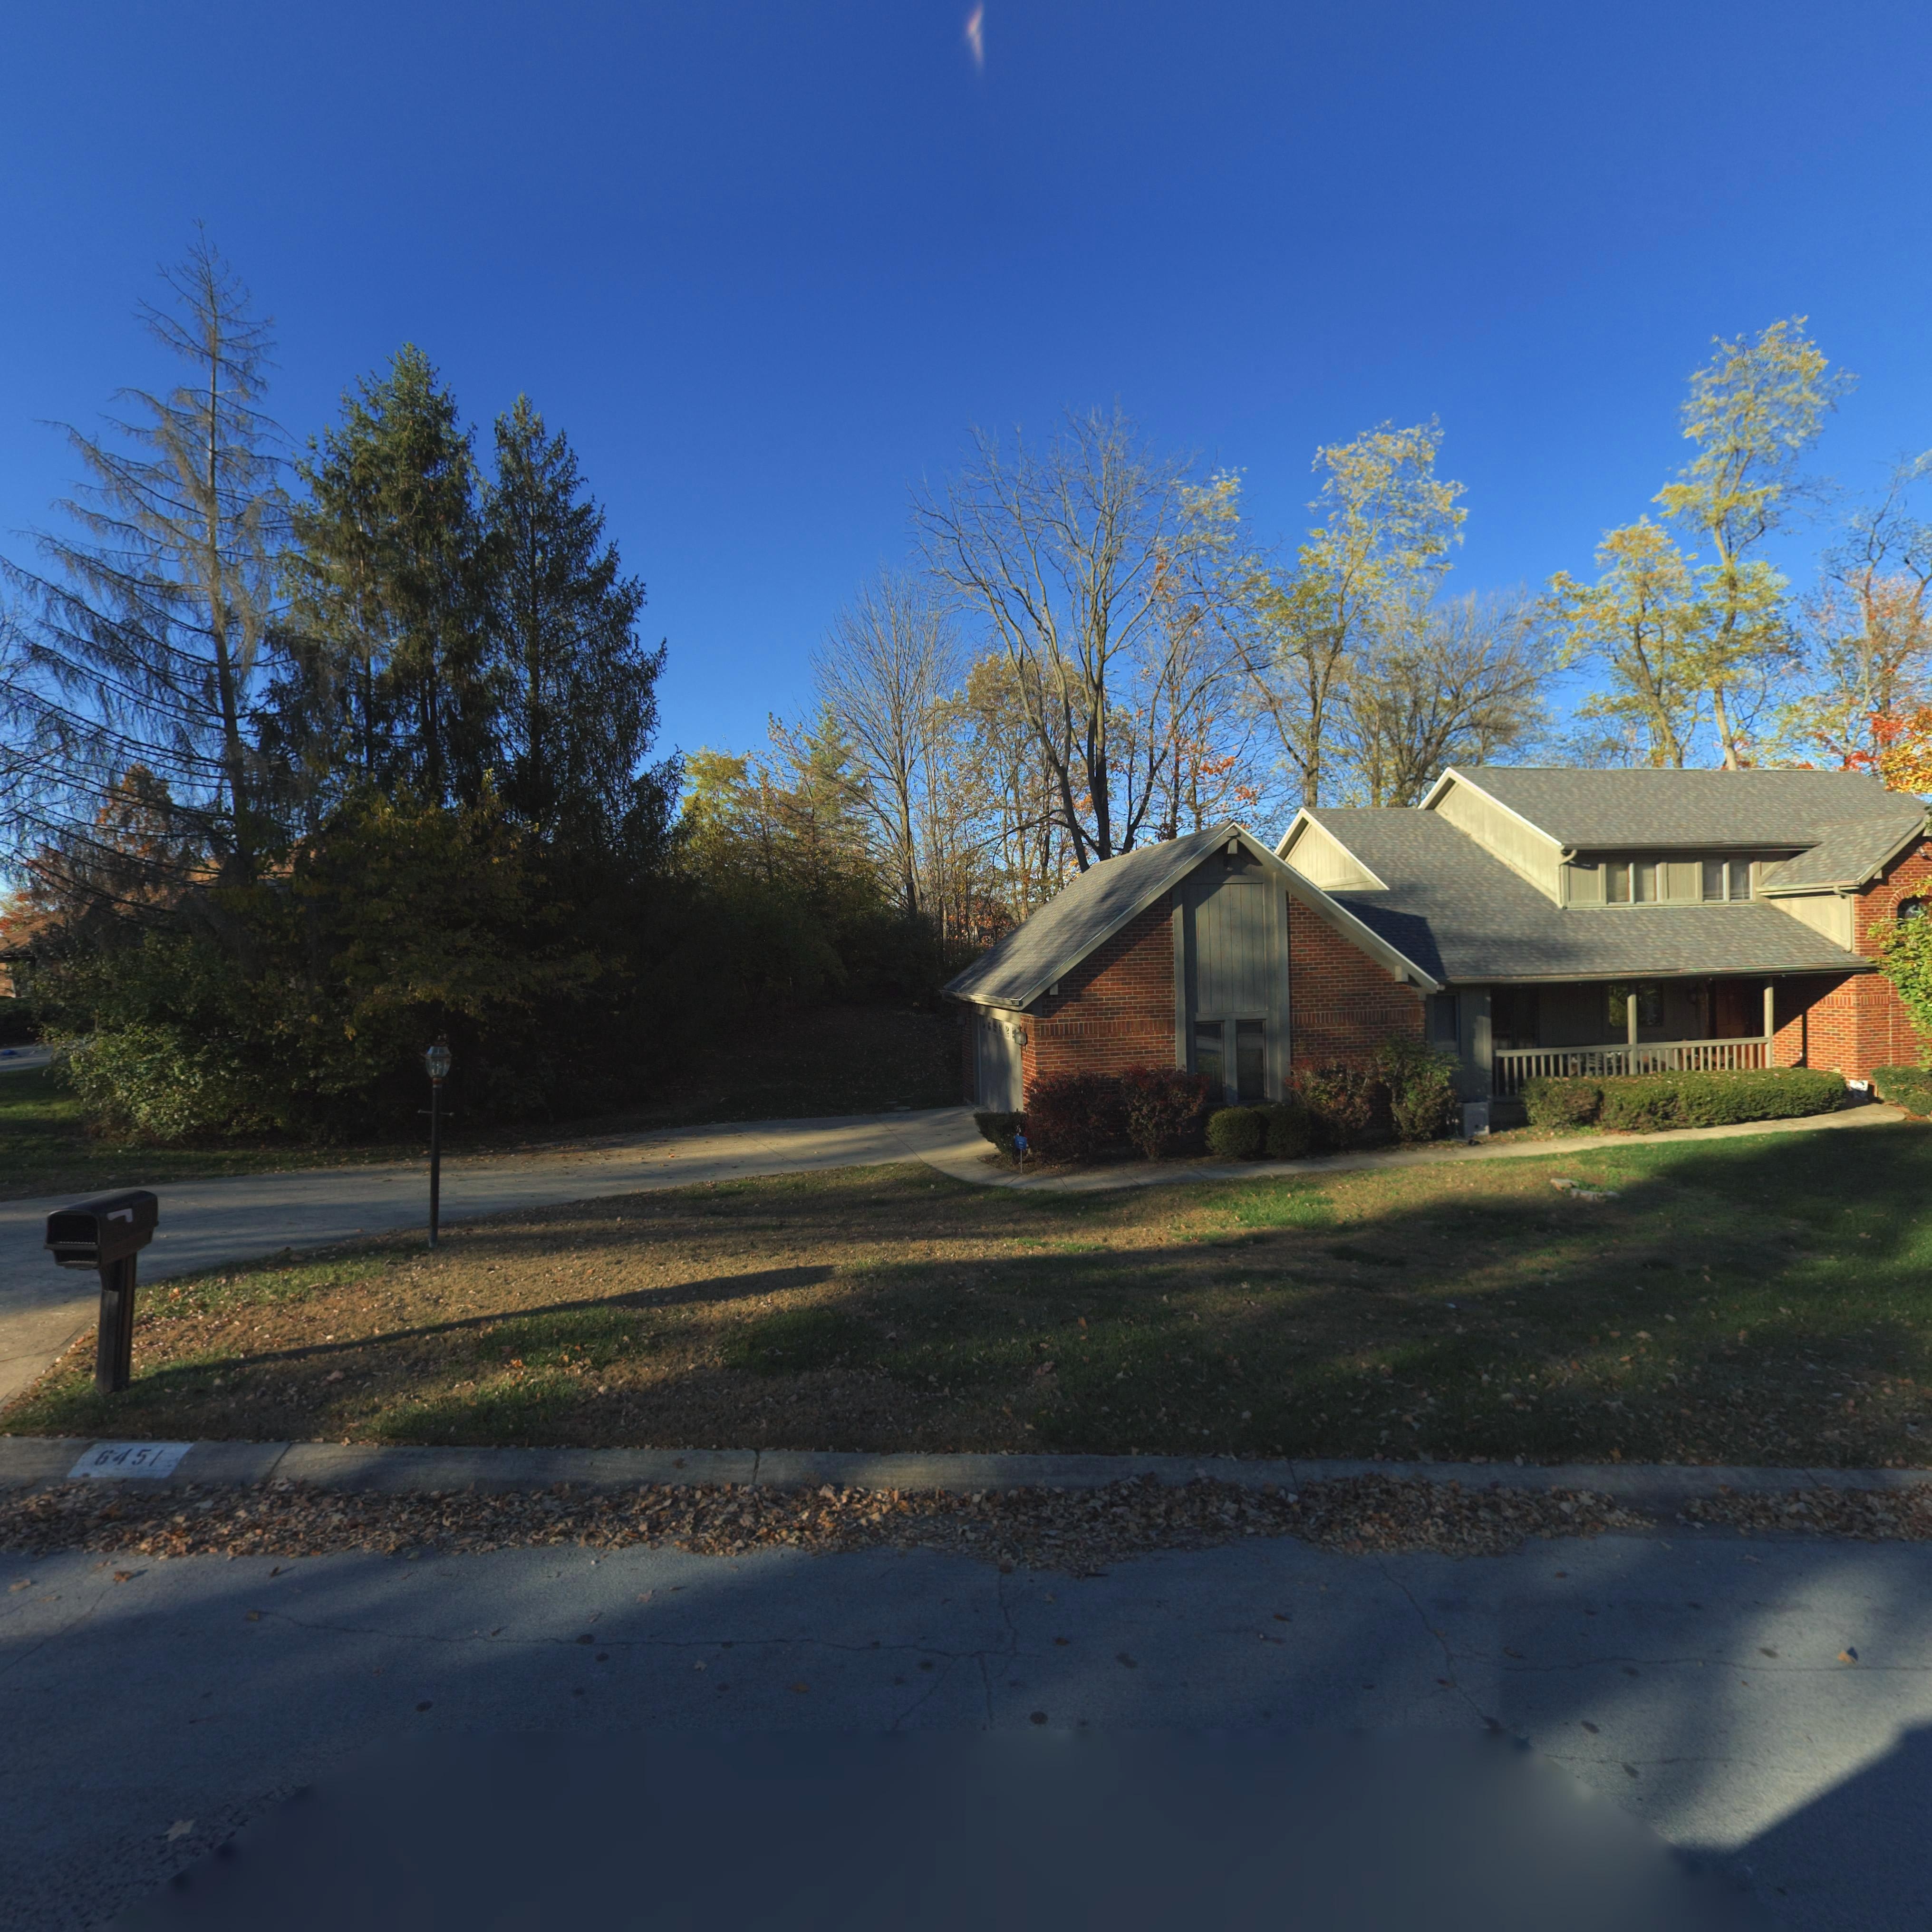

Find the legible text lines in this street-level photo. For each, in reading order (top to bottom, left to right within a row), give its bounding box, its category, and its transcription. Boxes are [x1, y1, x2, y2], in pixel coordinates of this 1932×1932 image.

[92, 1447, 166, 1468] StreetNumber: 6451